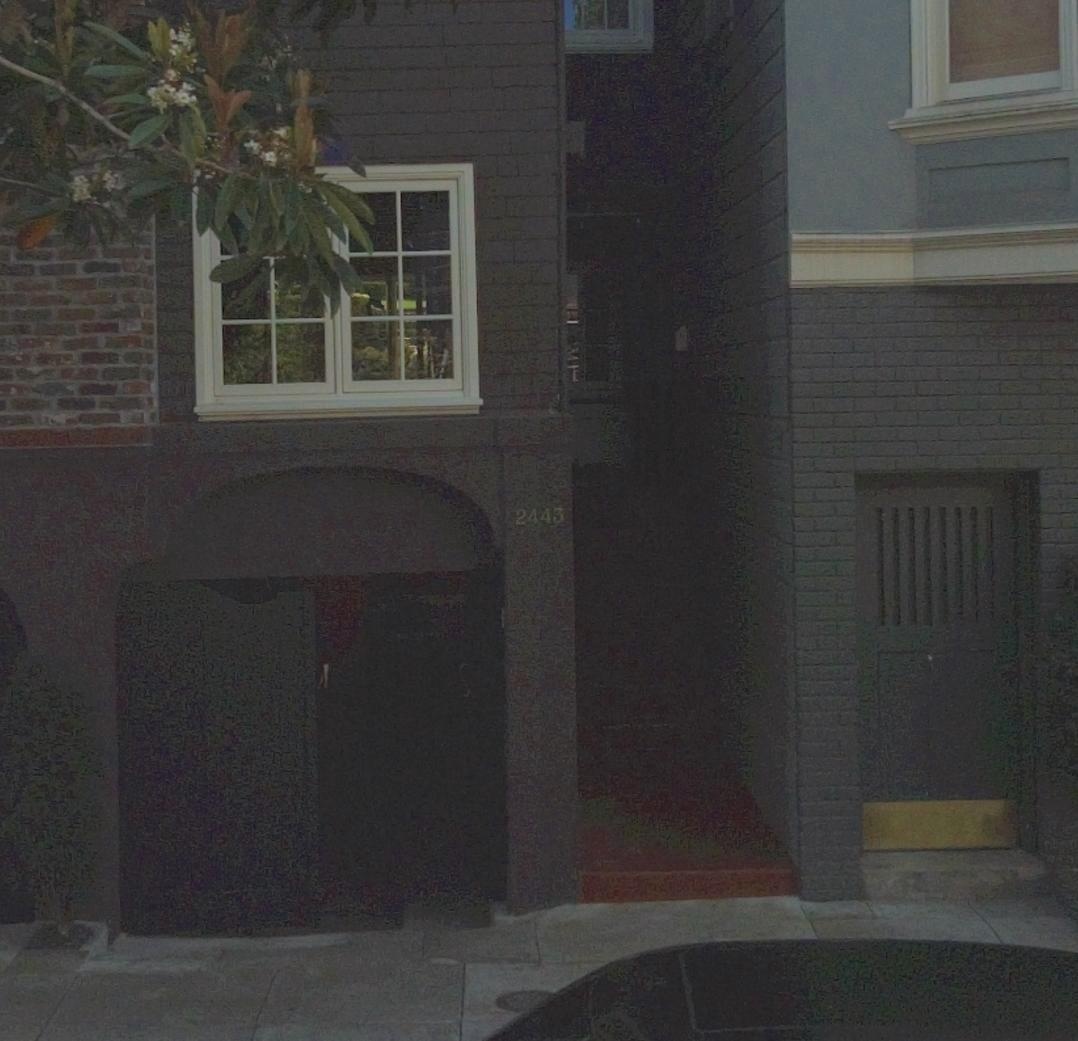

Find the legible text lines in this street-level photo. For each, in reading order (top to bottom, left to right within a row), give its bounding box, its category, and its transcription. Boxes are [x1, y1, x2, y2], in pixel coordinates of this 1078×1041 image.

[514, 505, 566, 528] StreetNumber: 2443